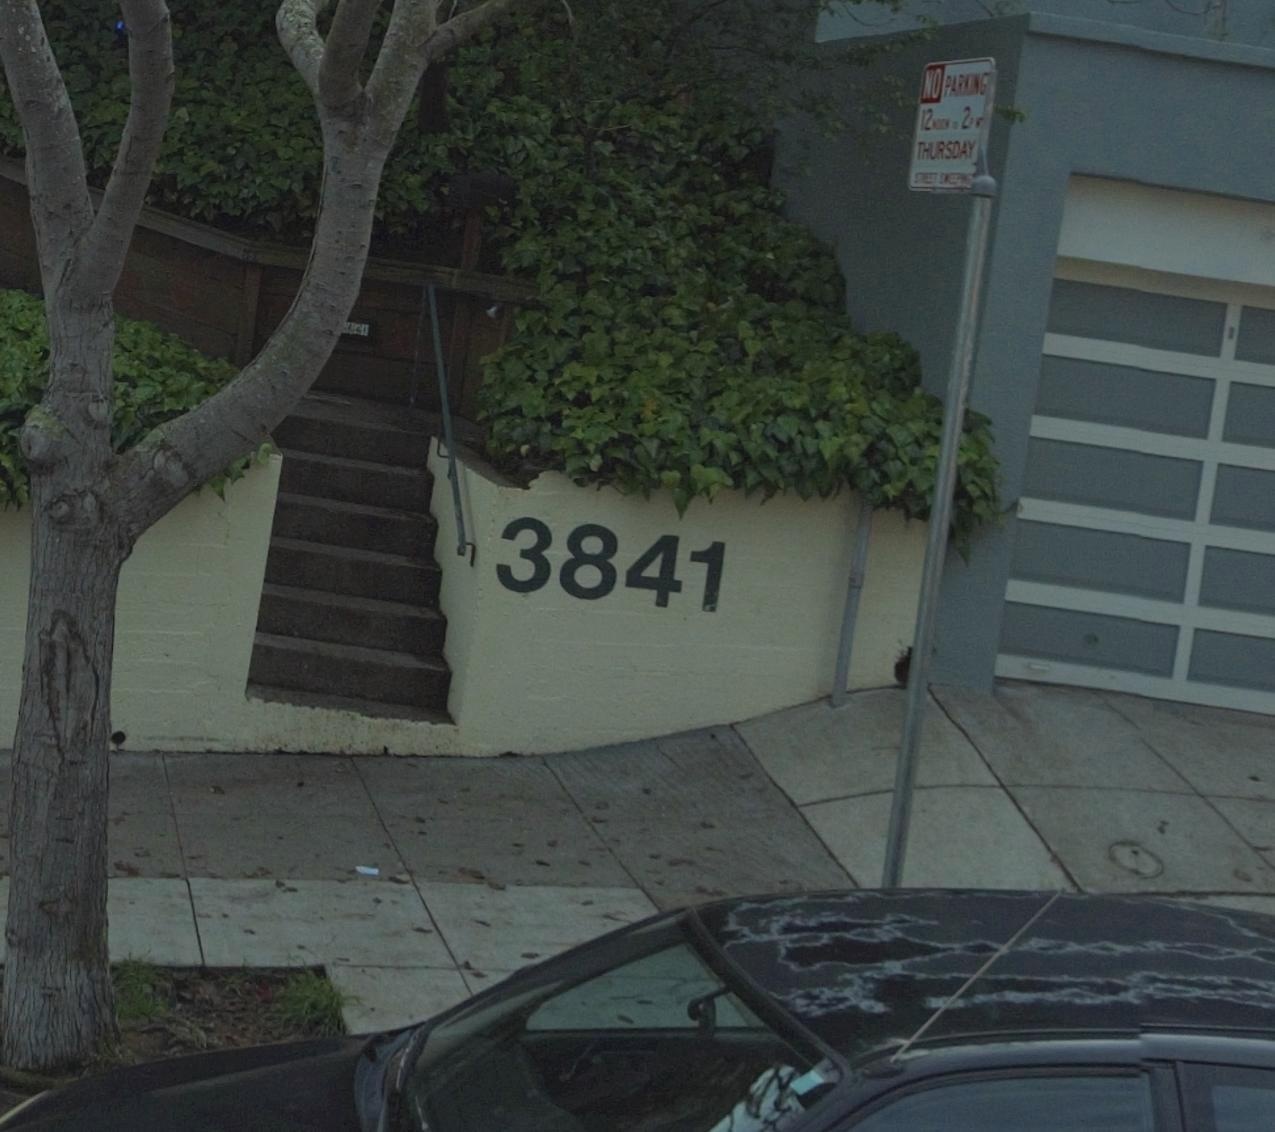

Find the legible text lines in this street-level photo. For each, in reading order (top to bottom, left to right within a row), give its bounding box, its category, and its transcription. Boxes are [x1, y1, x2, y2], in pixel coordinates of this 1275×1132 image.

[920, 67, 943, 100] None: NO
[943, 71, 992, 98] None: PARKING
[917, 107, 934, 132] None: 12
[931, 116, 951, 131] None: NOON
[951, 119, 959, 130] None: TO
[961, 105, 974, 130] None: 2
[971, 115, 985, 130] None: AM
[914, 139, 980, 161] None: THURSDAY
[913, 171, 978, 185] None: STREET SWEEPING
[494, 511, 729, 615] StreetNumber: 3841